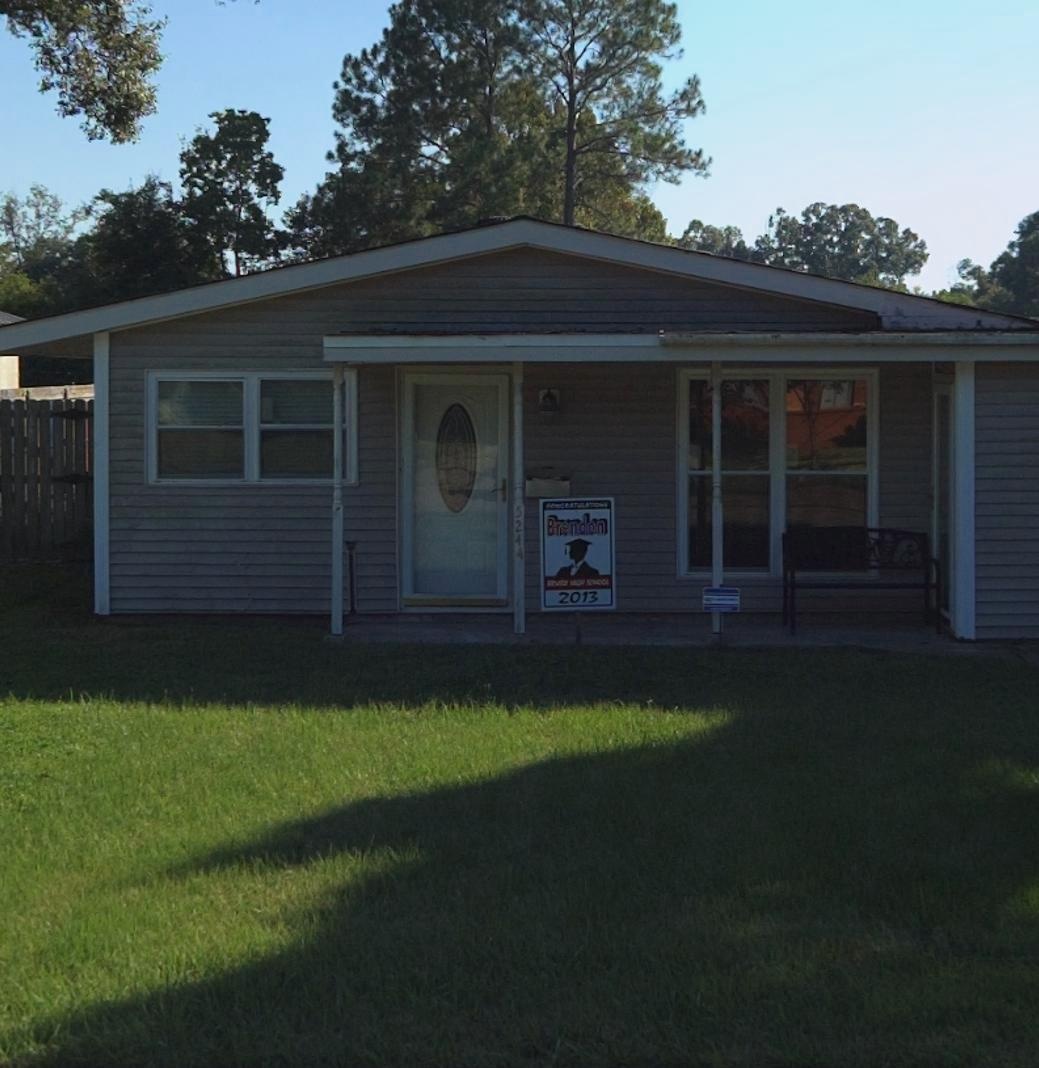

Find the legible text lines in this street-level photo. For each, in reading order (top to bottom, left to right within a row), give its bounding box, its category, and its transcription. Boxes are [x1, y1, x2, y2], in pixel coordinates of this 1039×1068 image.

[513, 505, 524, 561] StreetNumber: 5244
[546, 514, 605, 536] None: Brendan
[558, 591, 599, 604] None: 2013